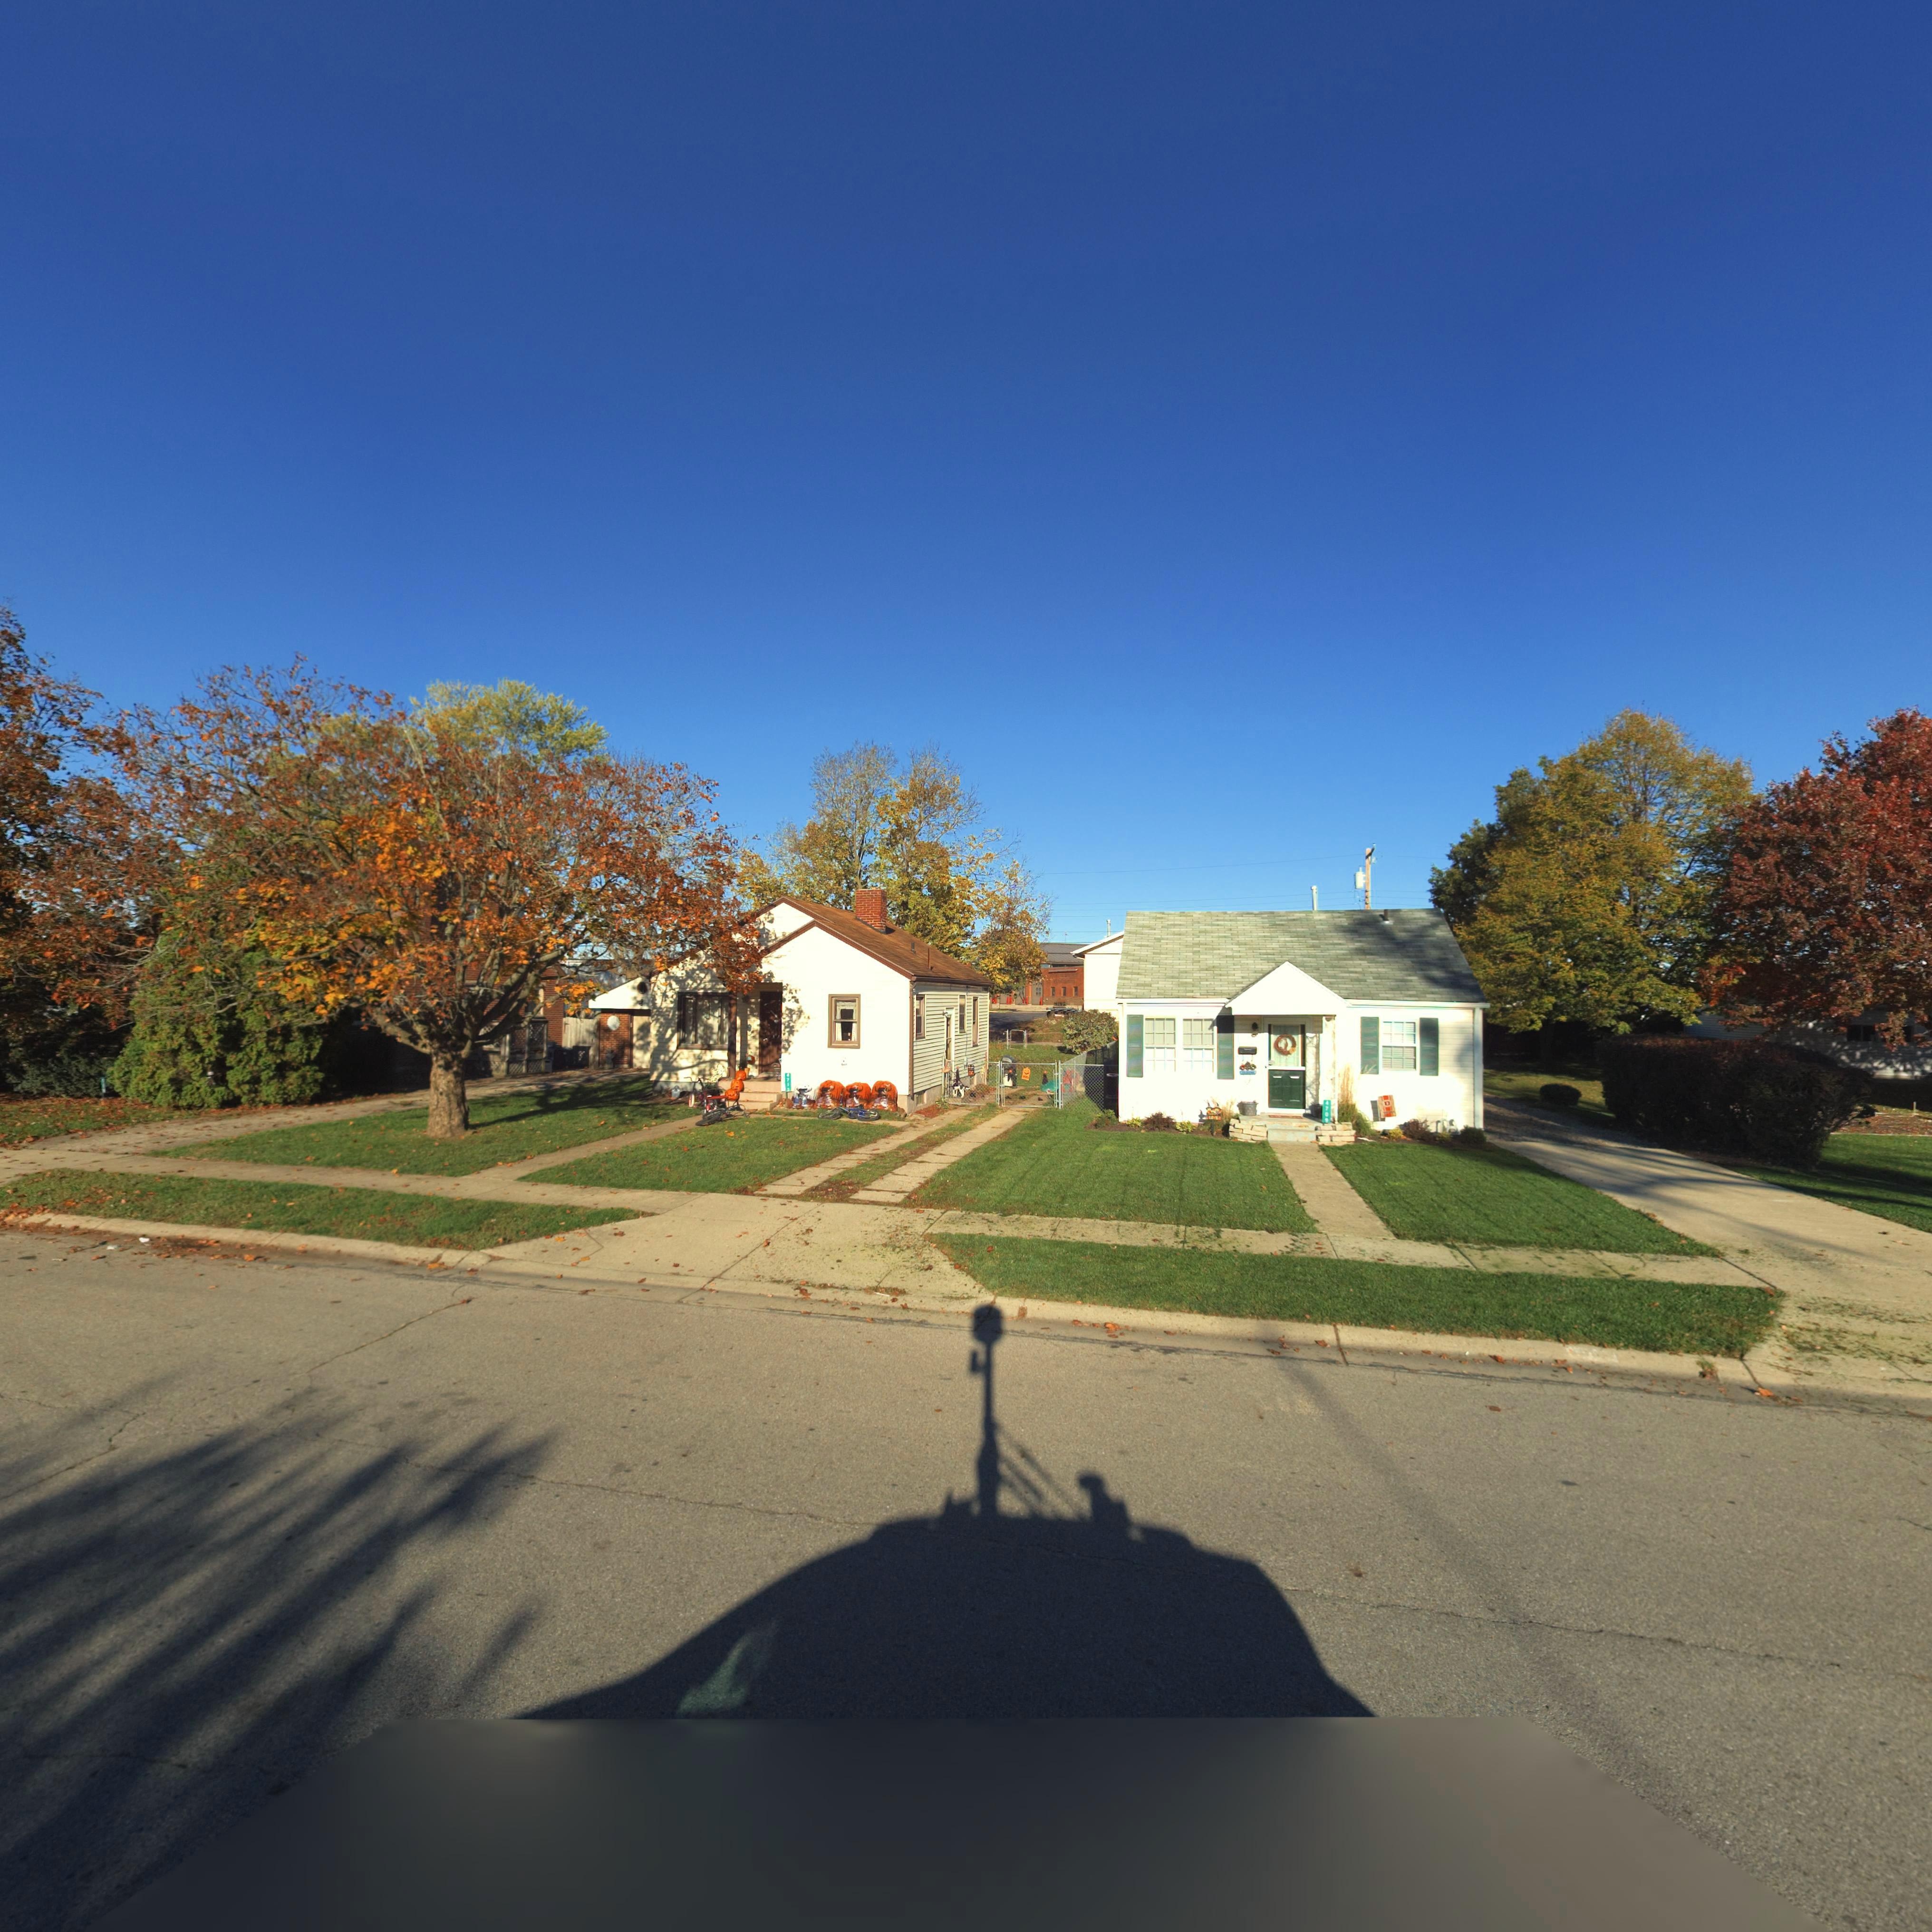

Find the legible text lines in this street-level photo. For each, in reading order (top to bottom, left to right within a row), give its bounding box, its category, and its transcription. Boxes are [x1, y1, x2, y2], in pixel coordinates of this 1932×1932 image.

[785, 1071, 791, 1093] StreetNumber: *71*
[1323, 1100, 1330, 1124] StreetNumber: 4709